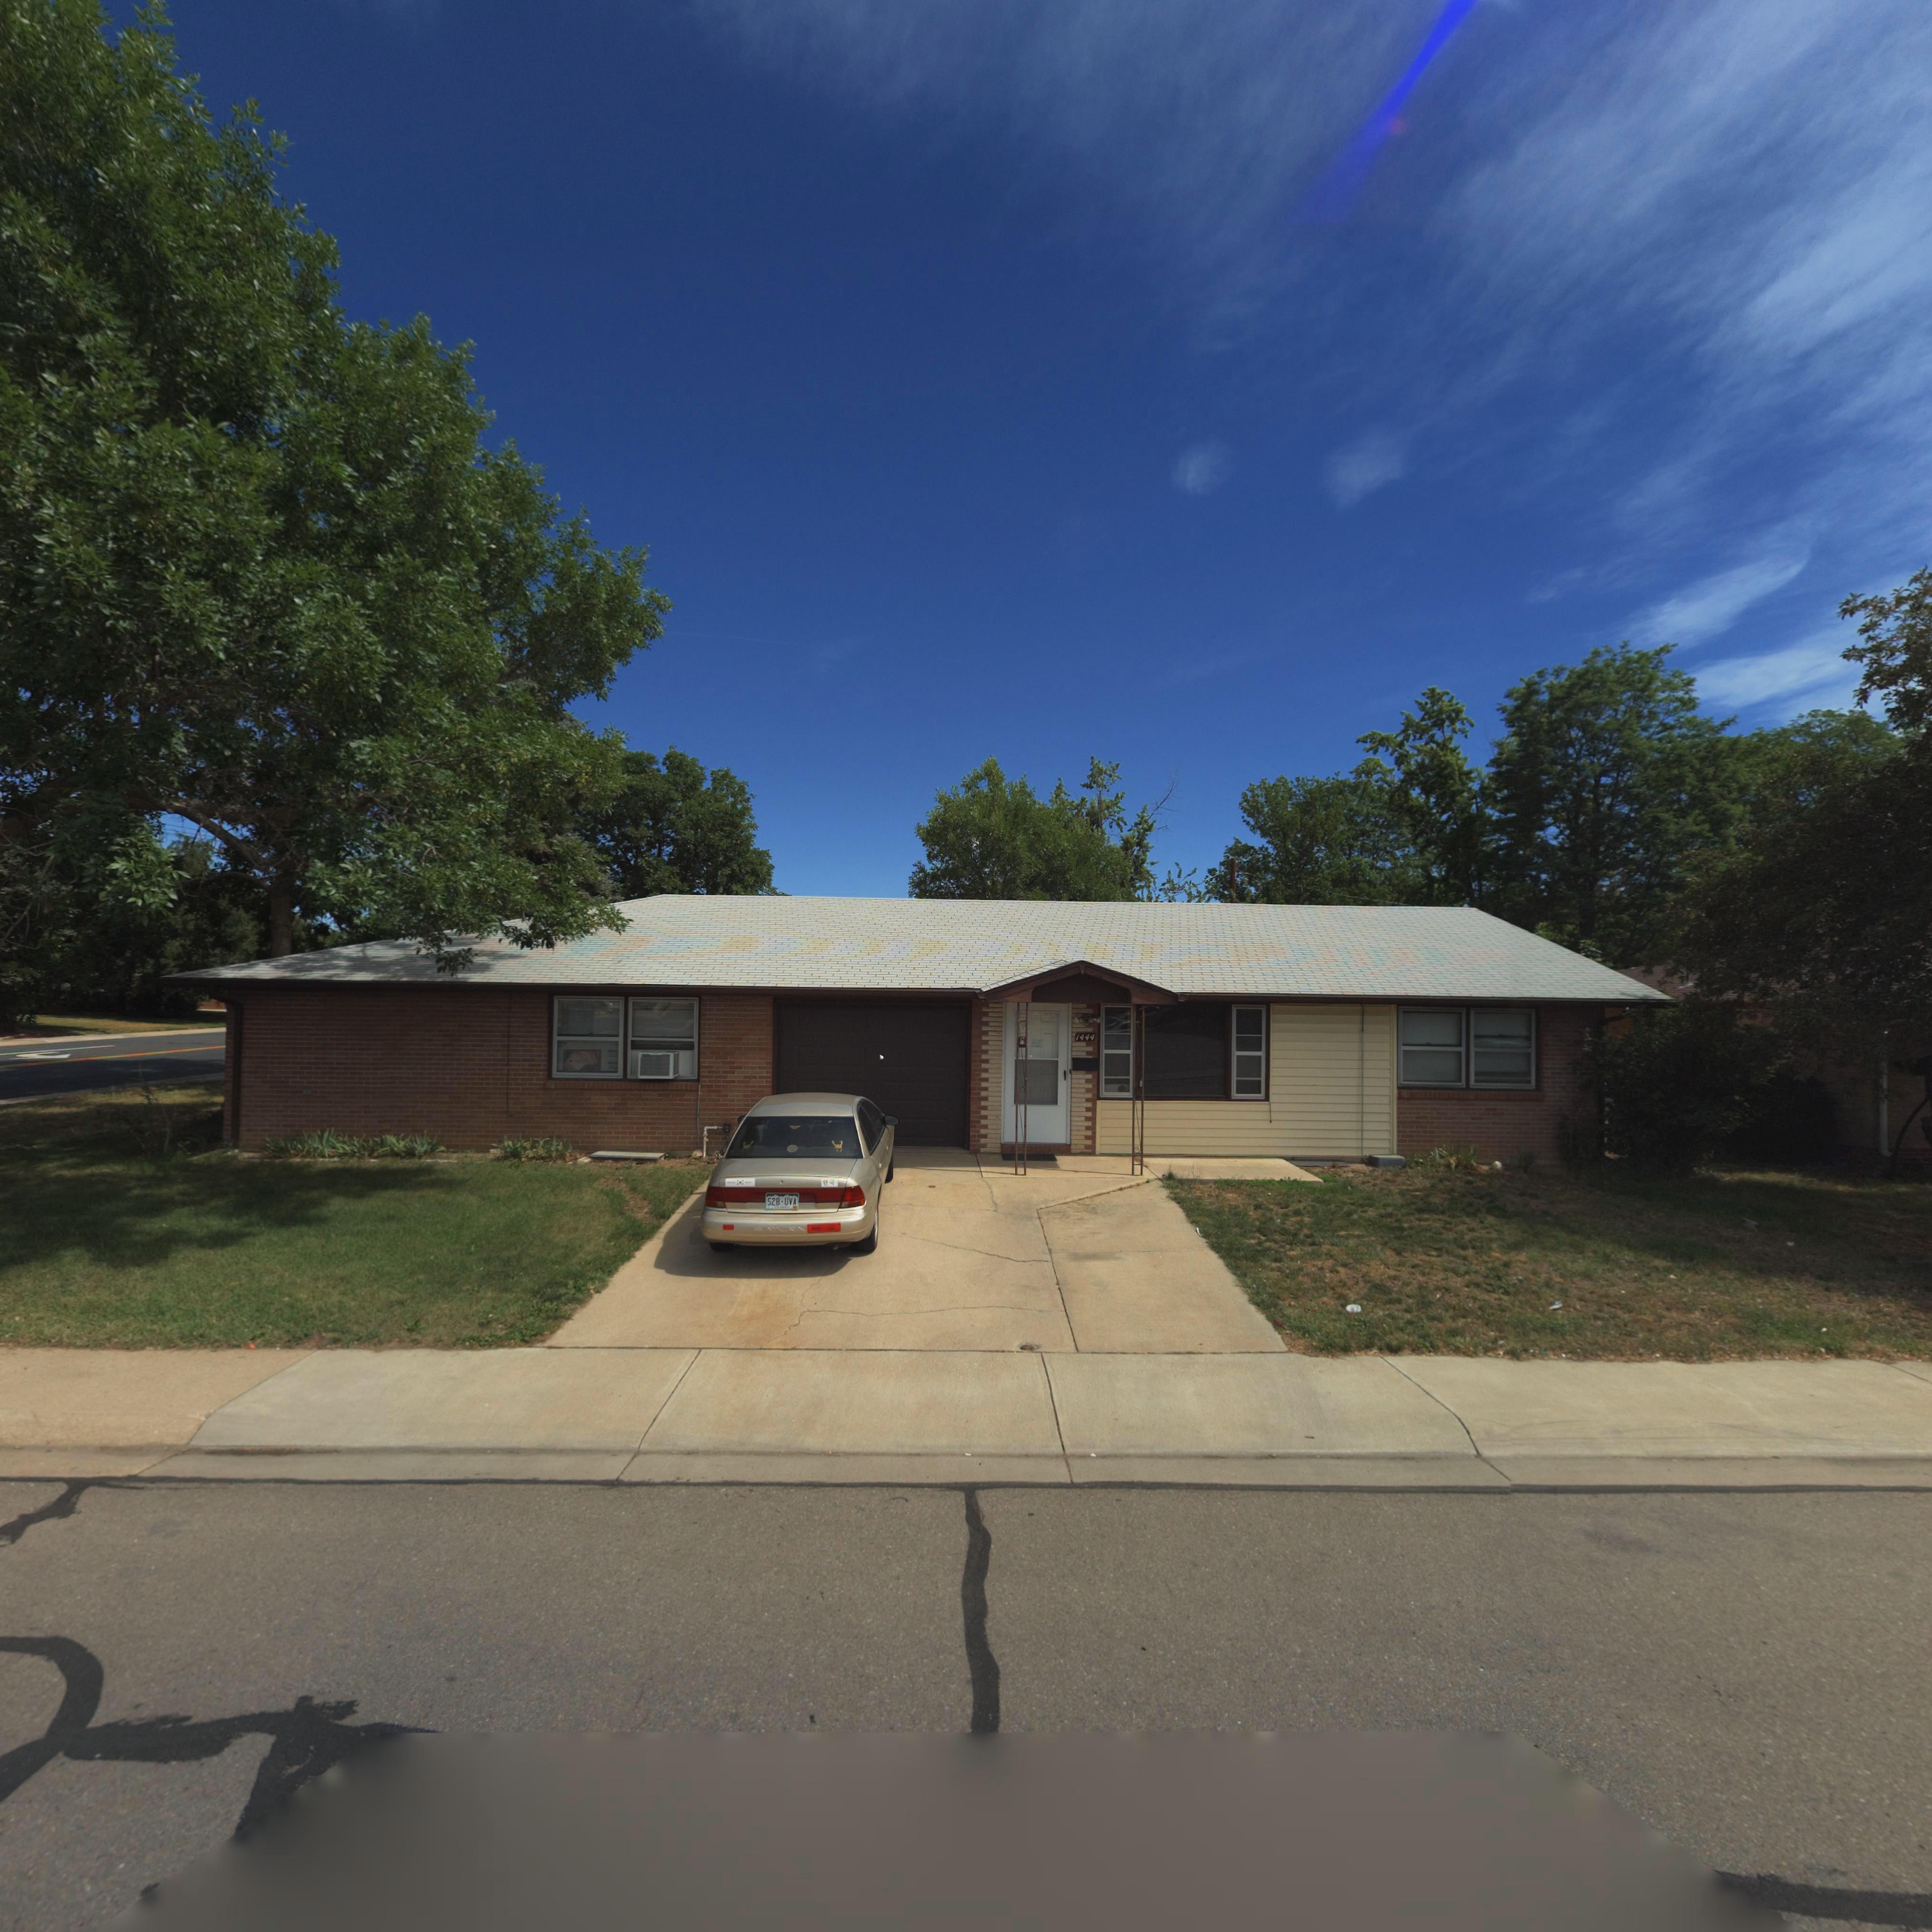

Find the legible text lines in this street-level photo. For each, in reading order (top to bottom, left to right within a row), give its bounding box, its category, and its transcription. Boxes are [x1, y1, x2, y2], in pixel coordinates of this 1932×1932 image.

[1075, 1034, 1095, 1040] StreetNumber: 1444